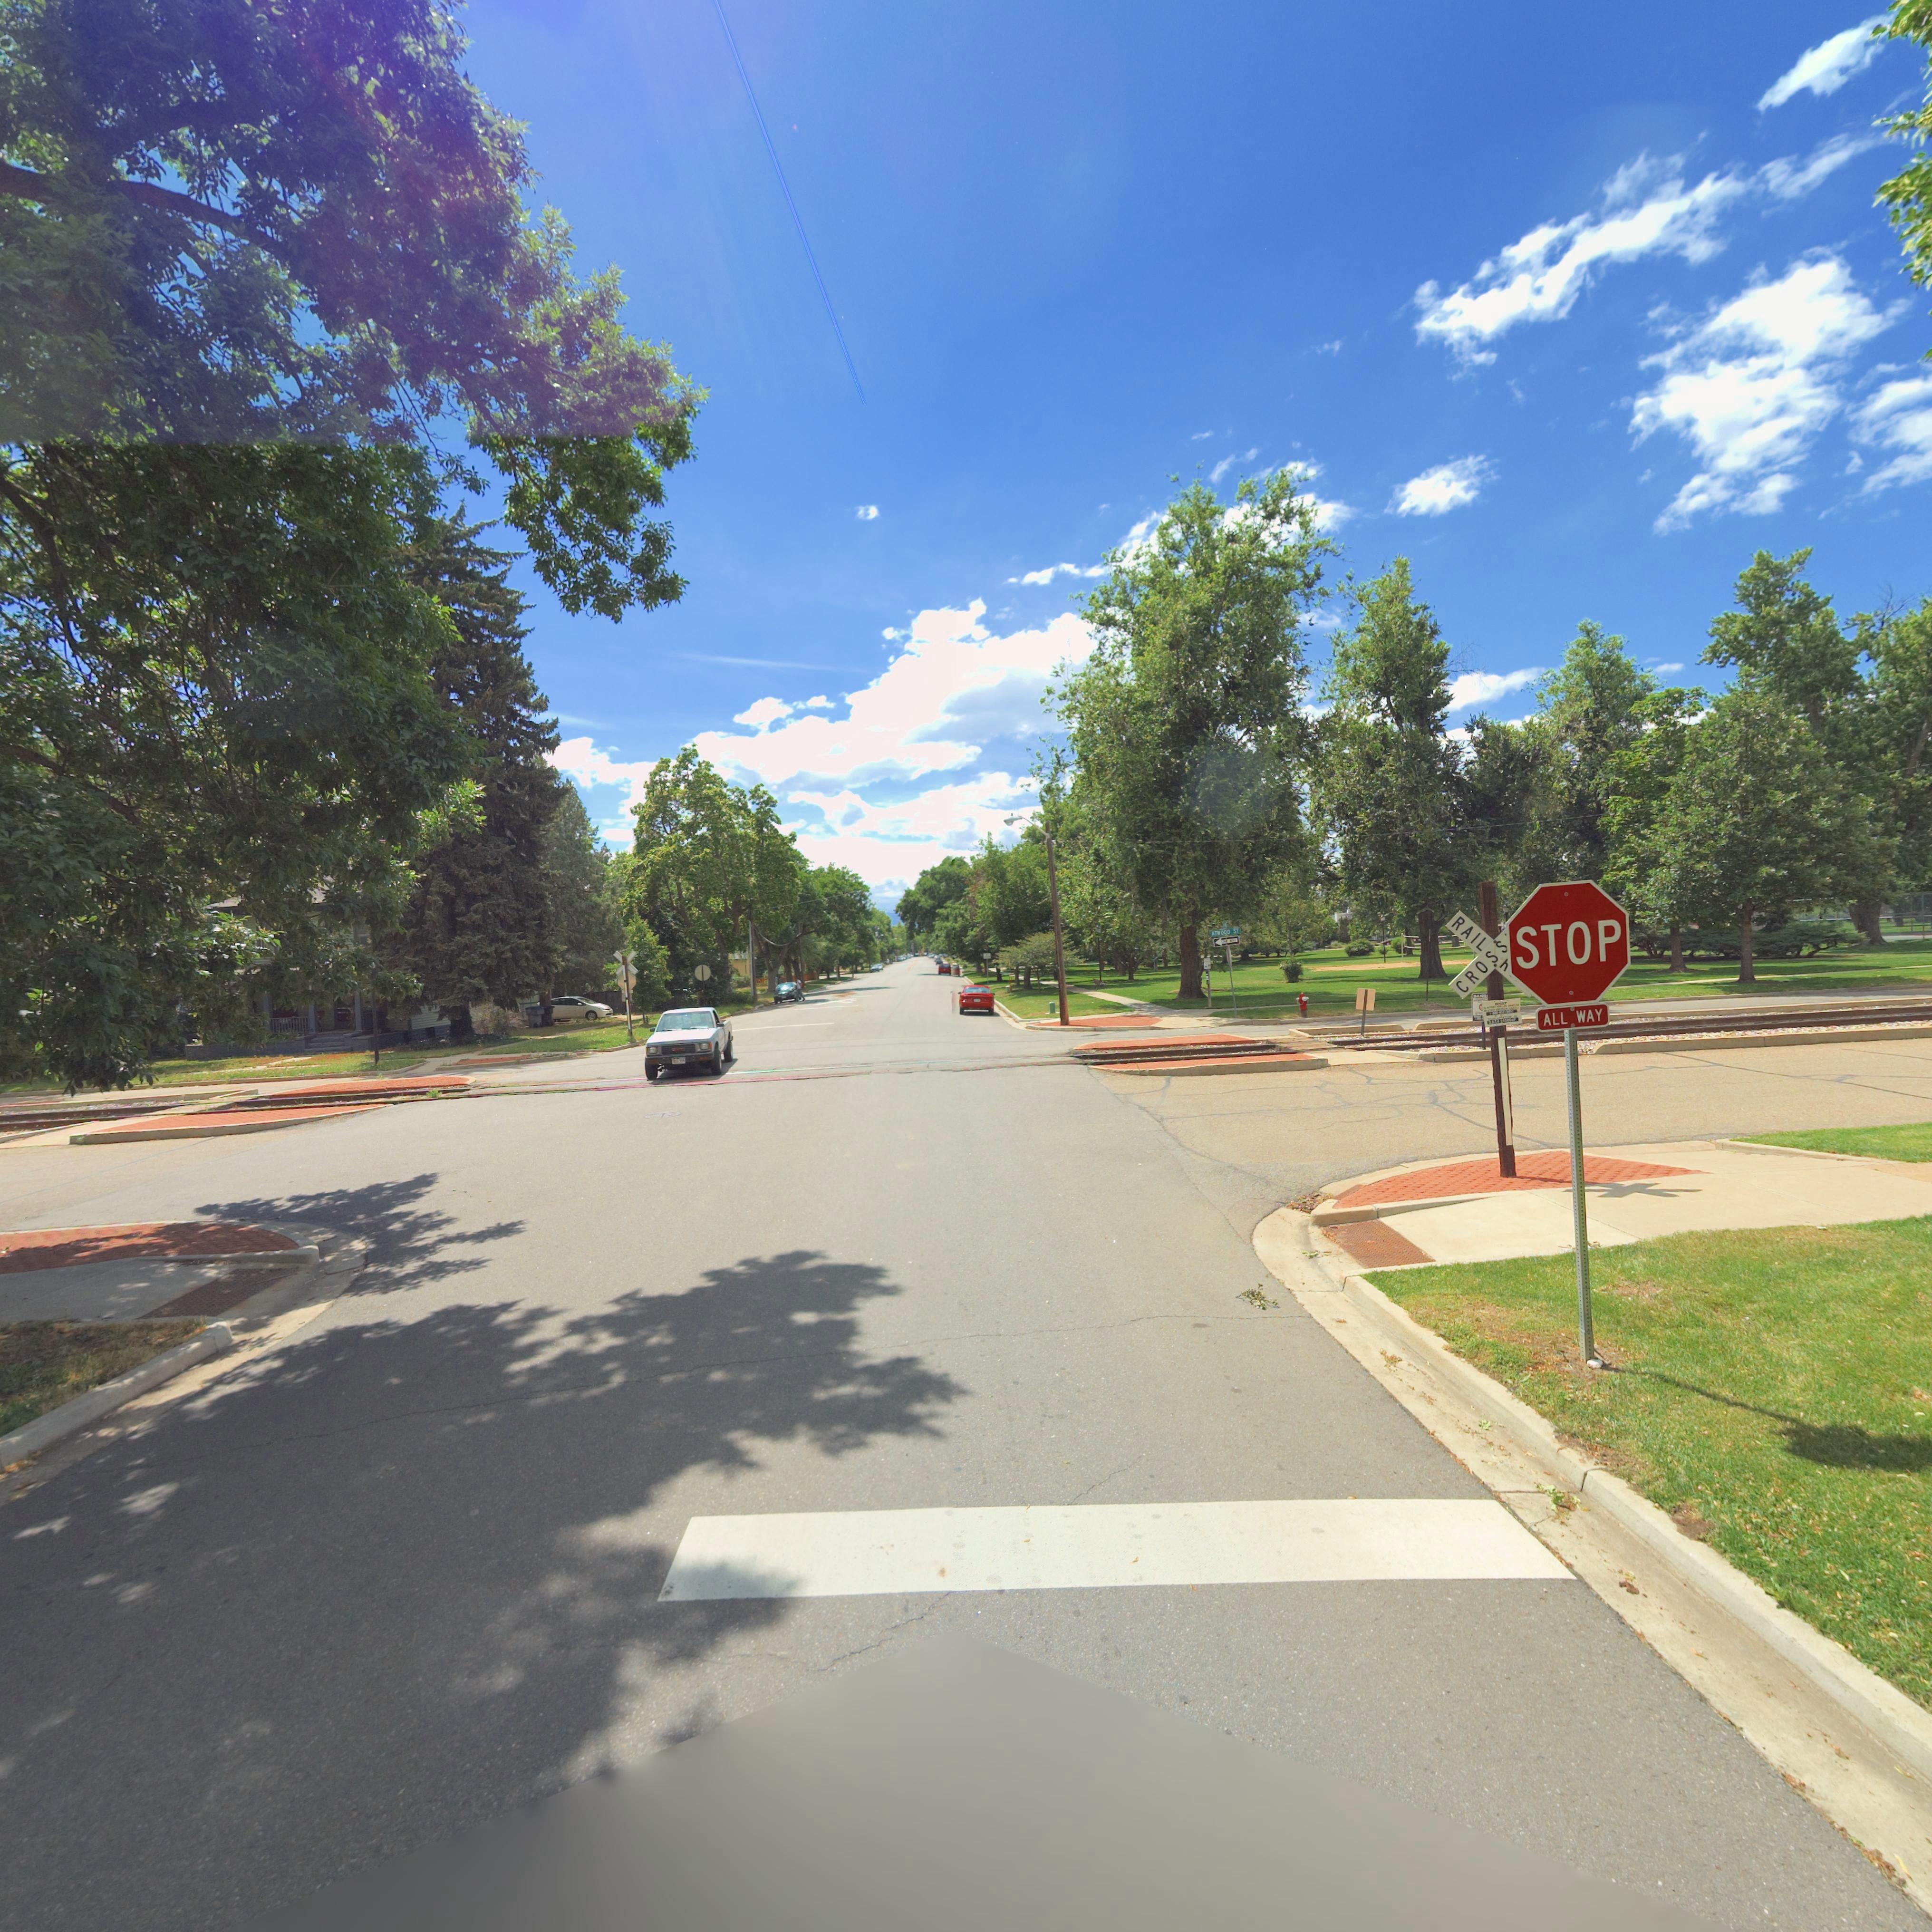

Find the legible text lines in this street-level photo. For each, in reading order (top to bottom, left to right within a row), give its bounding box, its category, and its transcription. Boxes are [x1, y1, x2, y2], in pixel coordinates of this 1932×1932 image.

[1212, 928, 1239, 936] StreetName: ATWOOD ST